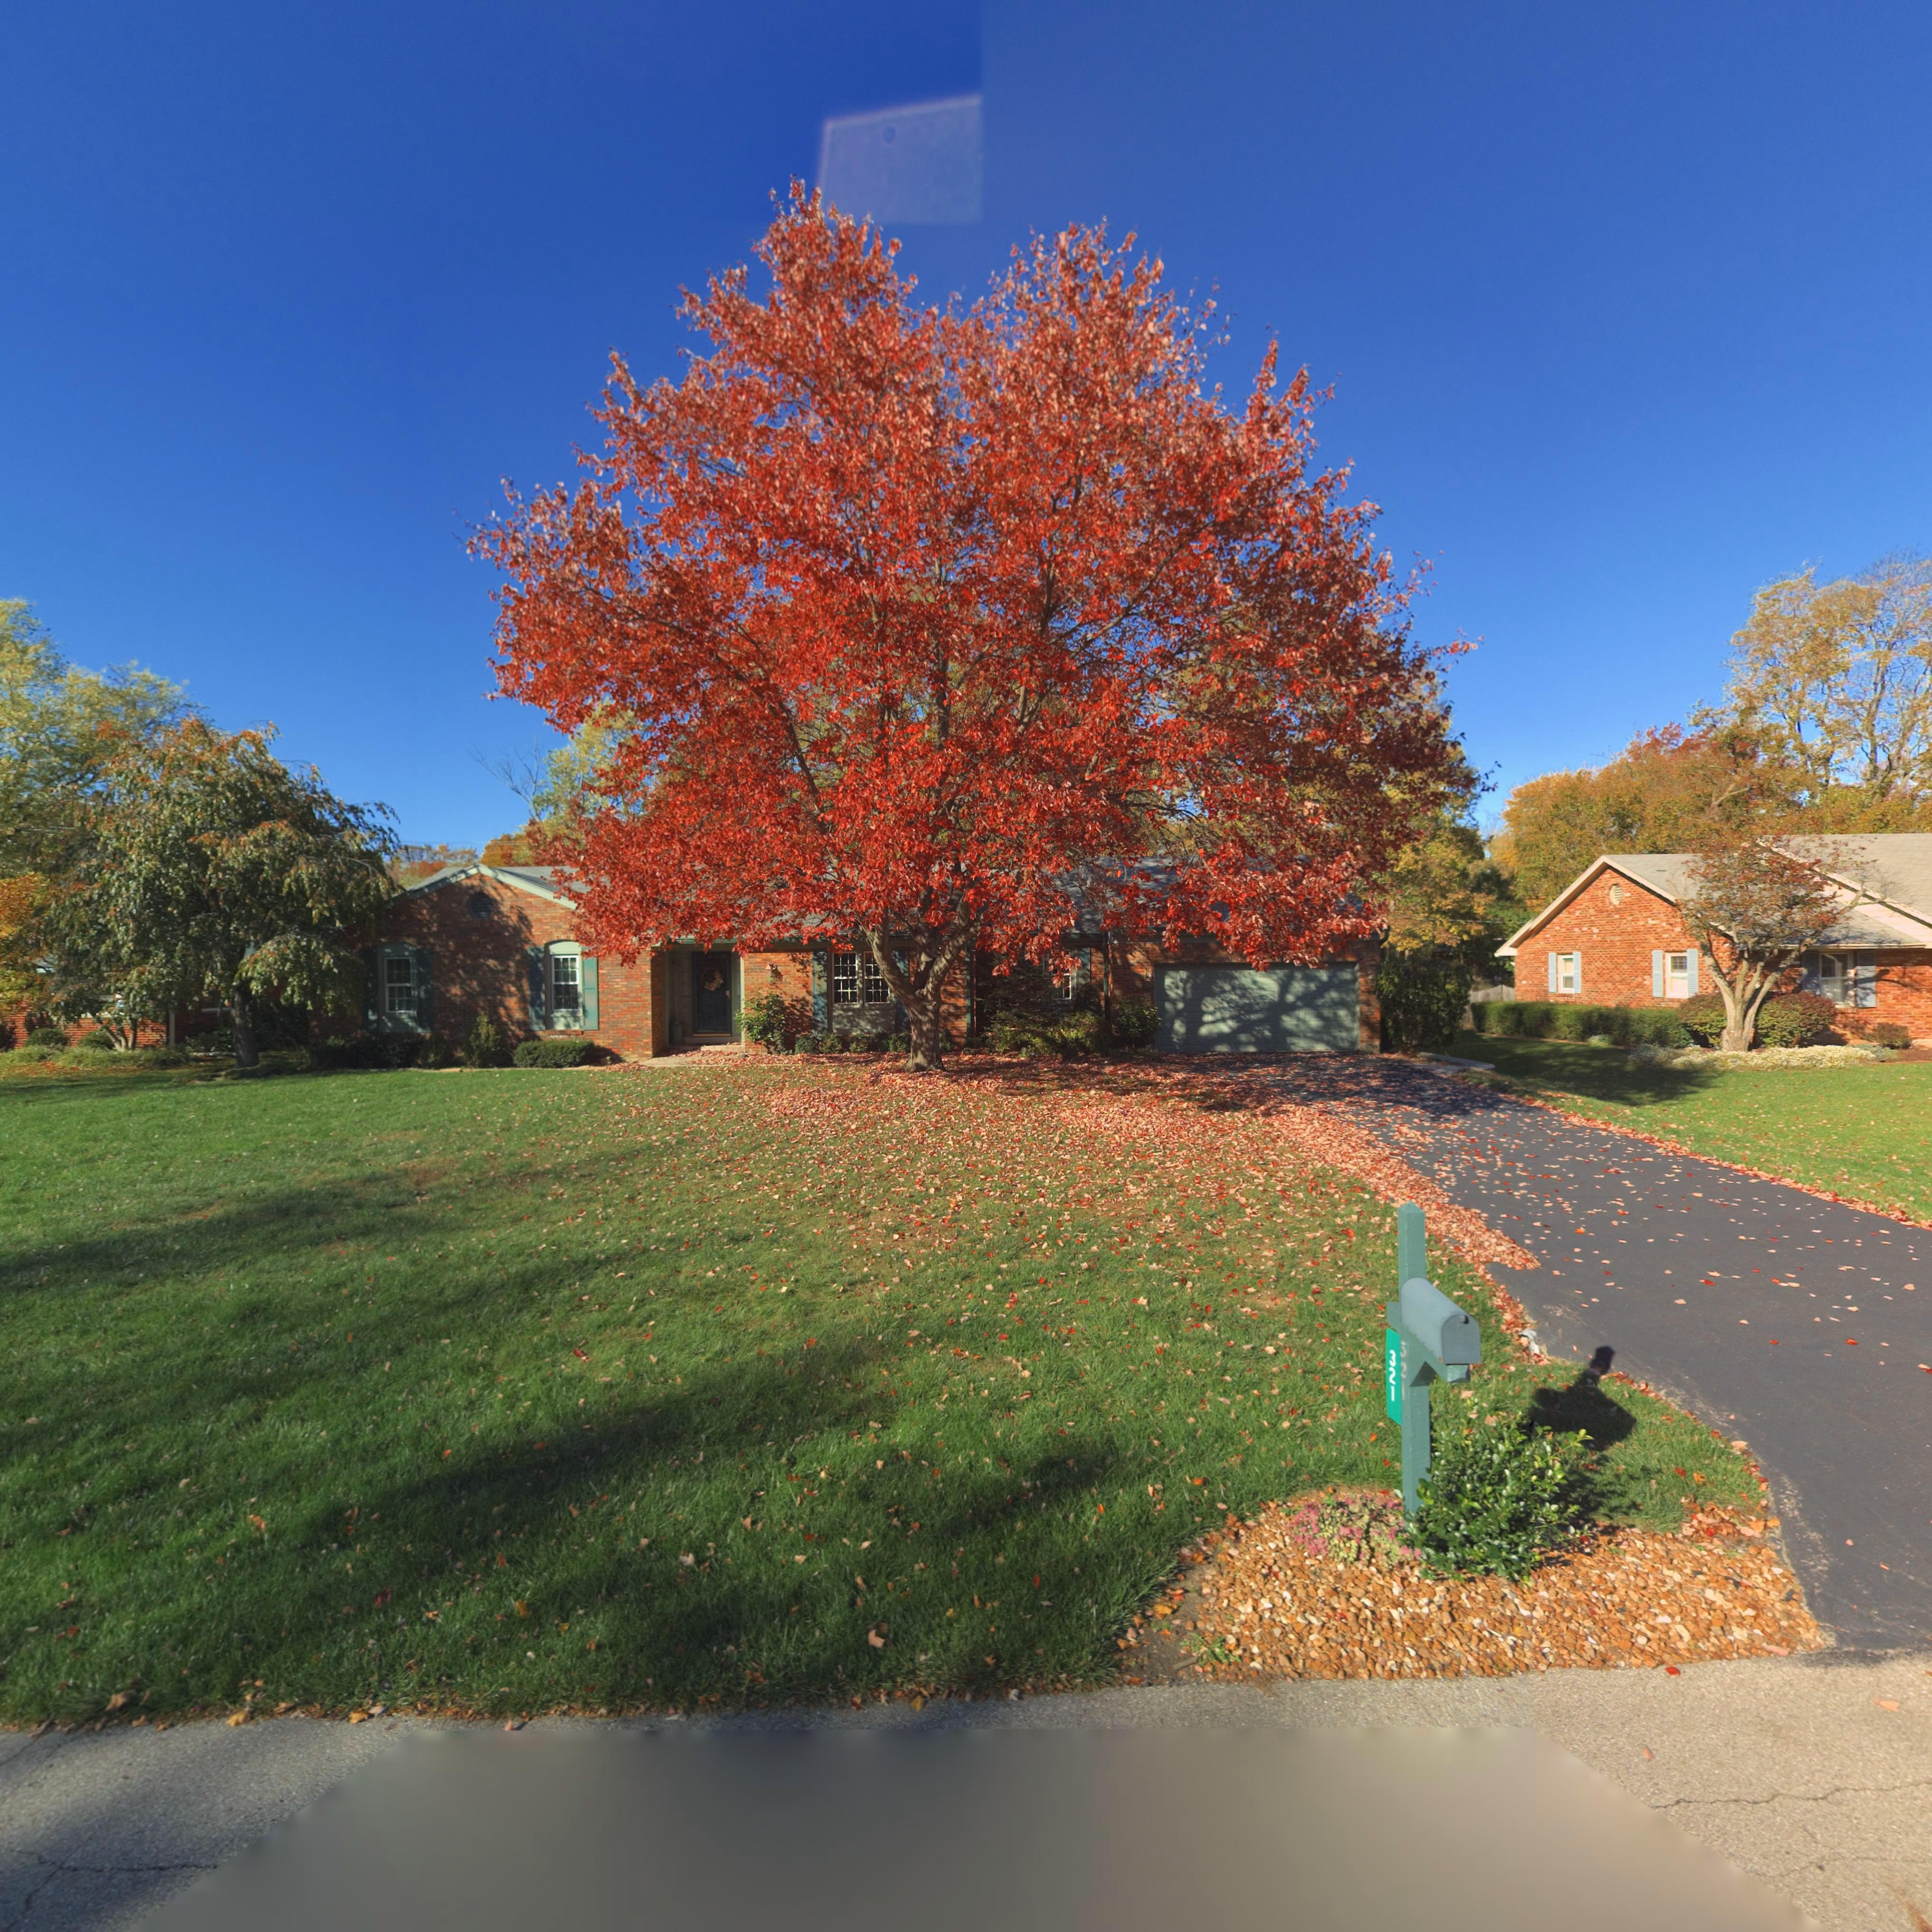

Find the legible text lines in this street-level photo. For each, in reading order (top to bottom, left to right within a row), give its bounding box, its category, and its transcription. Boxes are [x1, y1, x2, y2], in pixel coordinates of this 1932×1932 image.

[1388, 1347, 1397, 1404] StreetNumber: 321
[1400, 1339, 1408, 1403] StreetNumber: 321